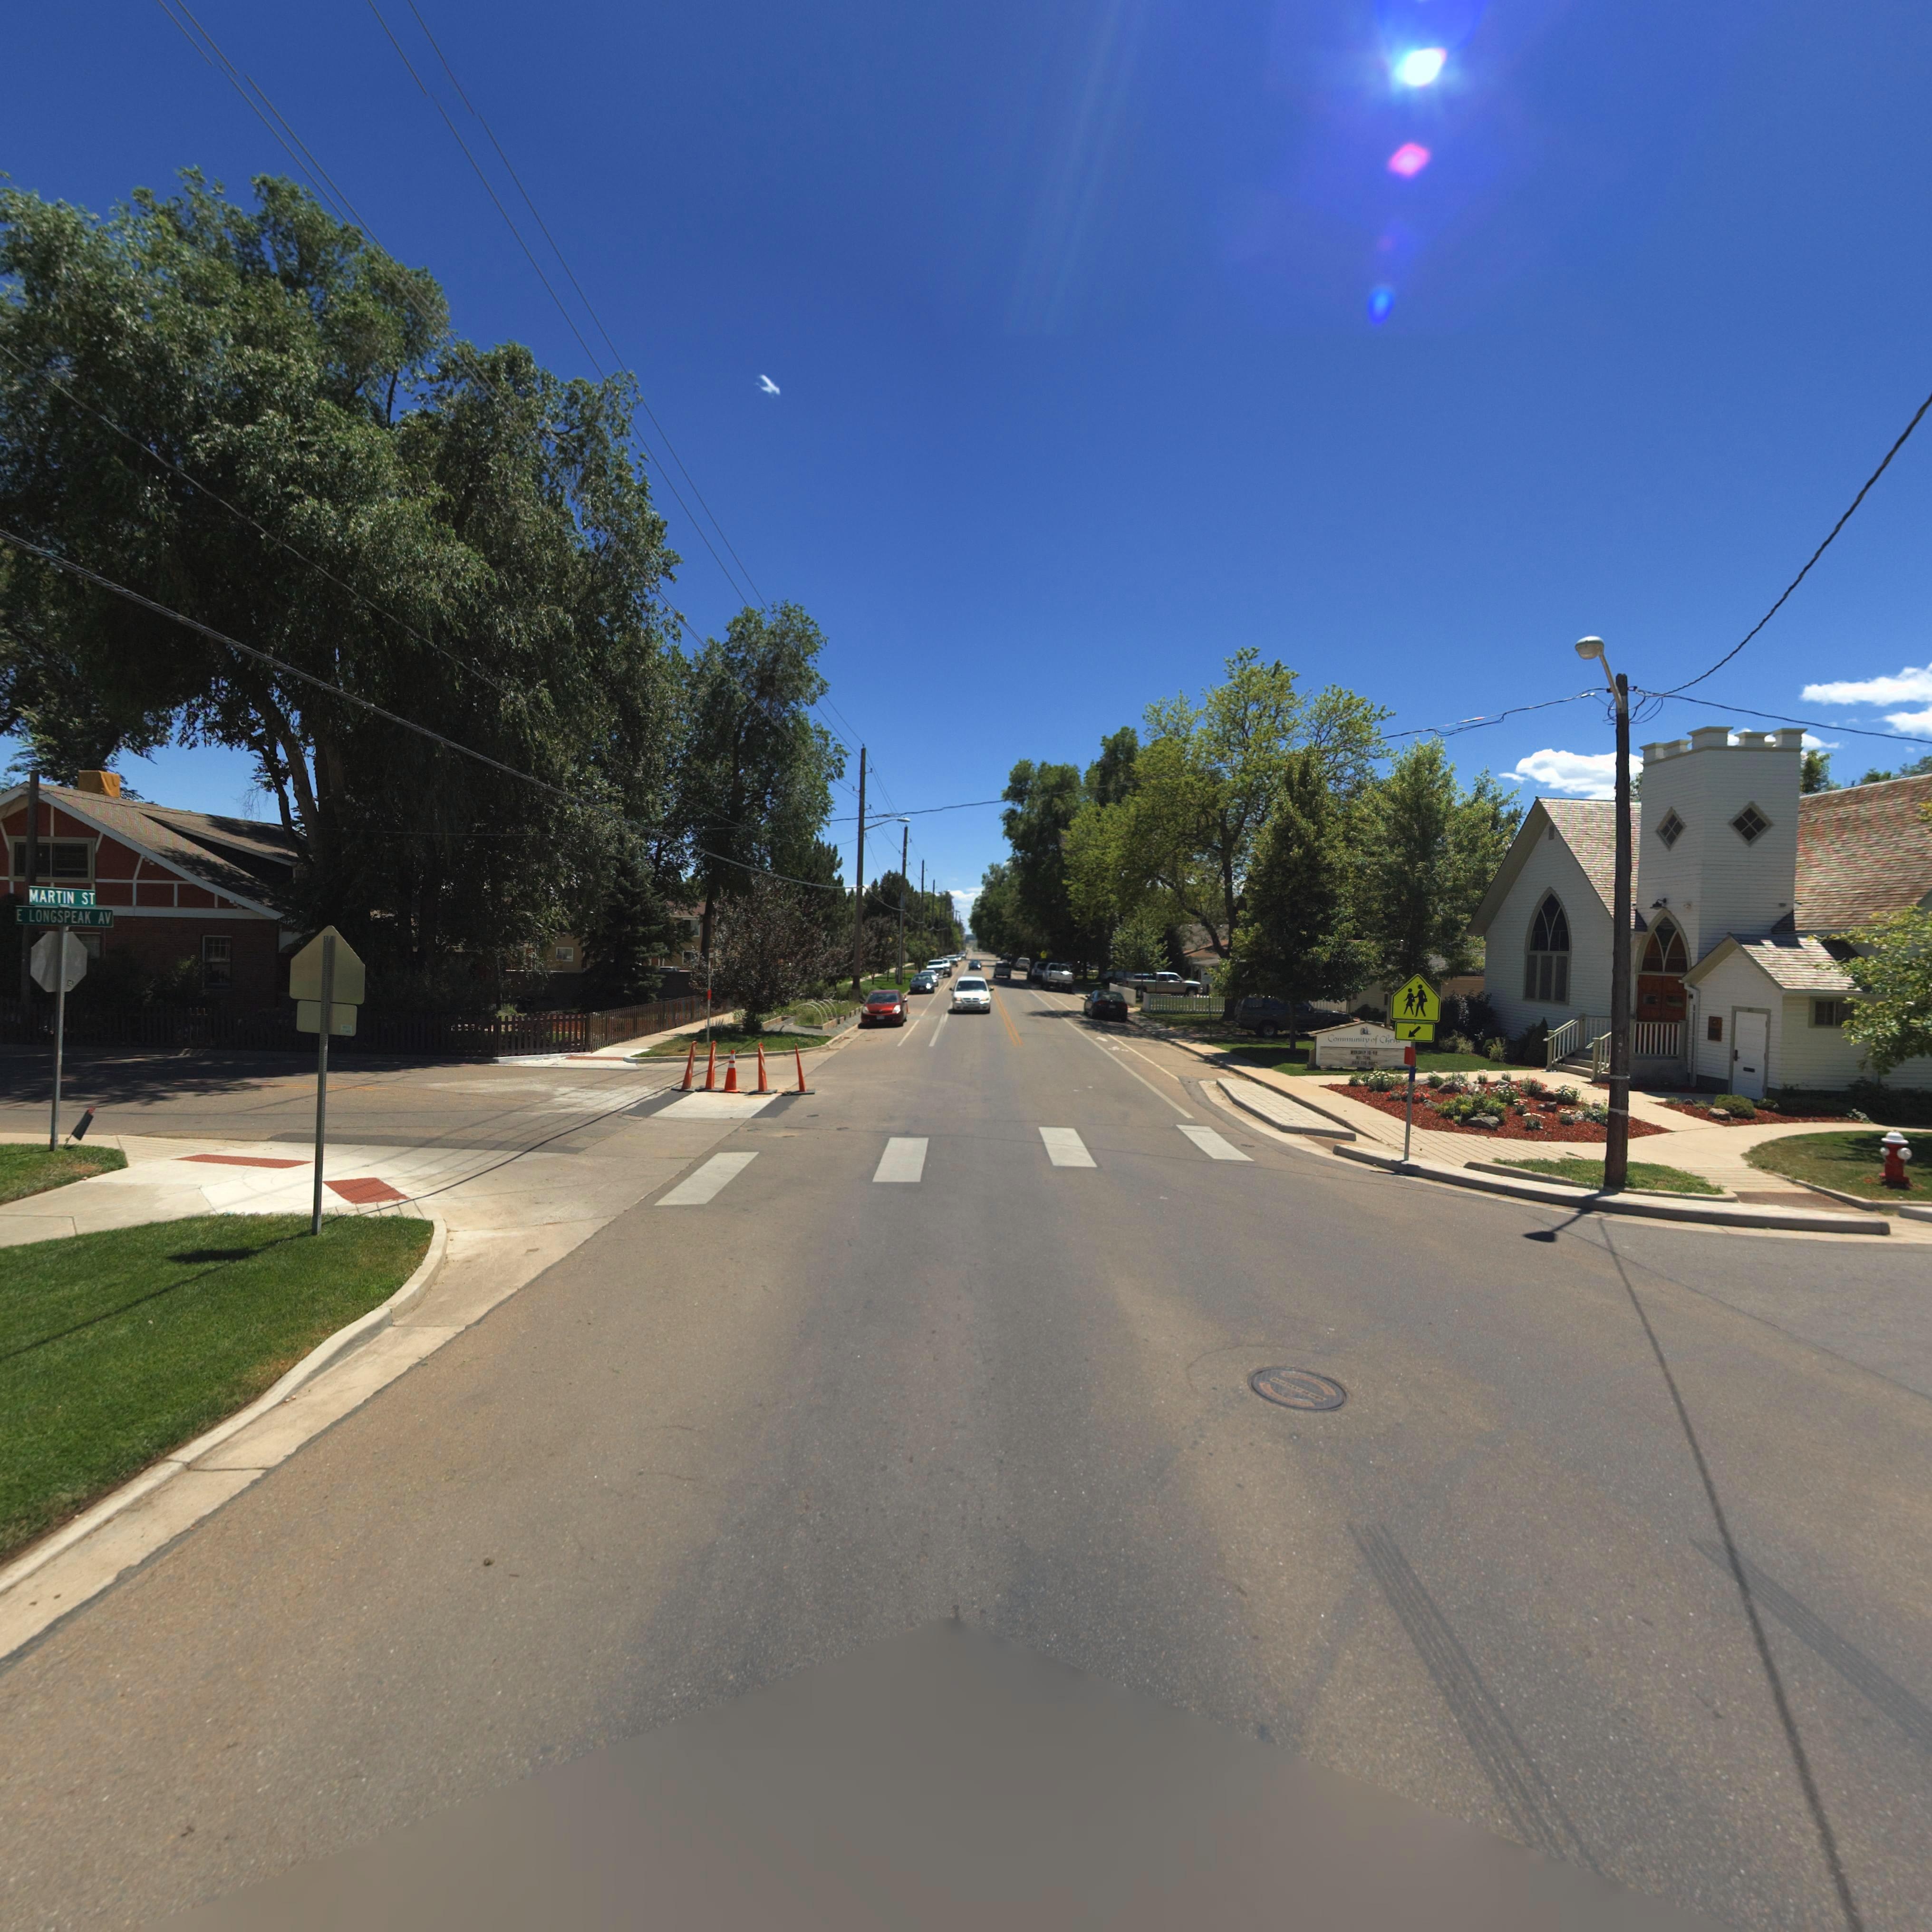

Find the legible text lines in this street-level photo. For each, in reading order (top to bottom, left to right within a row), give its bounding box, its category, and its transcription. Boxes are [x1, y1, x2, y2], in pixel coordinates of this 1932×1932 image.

[29, 889, 95, 905] StreetName: MARTIN ST
[16, 908, 111, 925] StreetName: E LONGSPEAK AV
[1327, 1034, 1398, 1045] BusinessName: Community of Chris